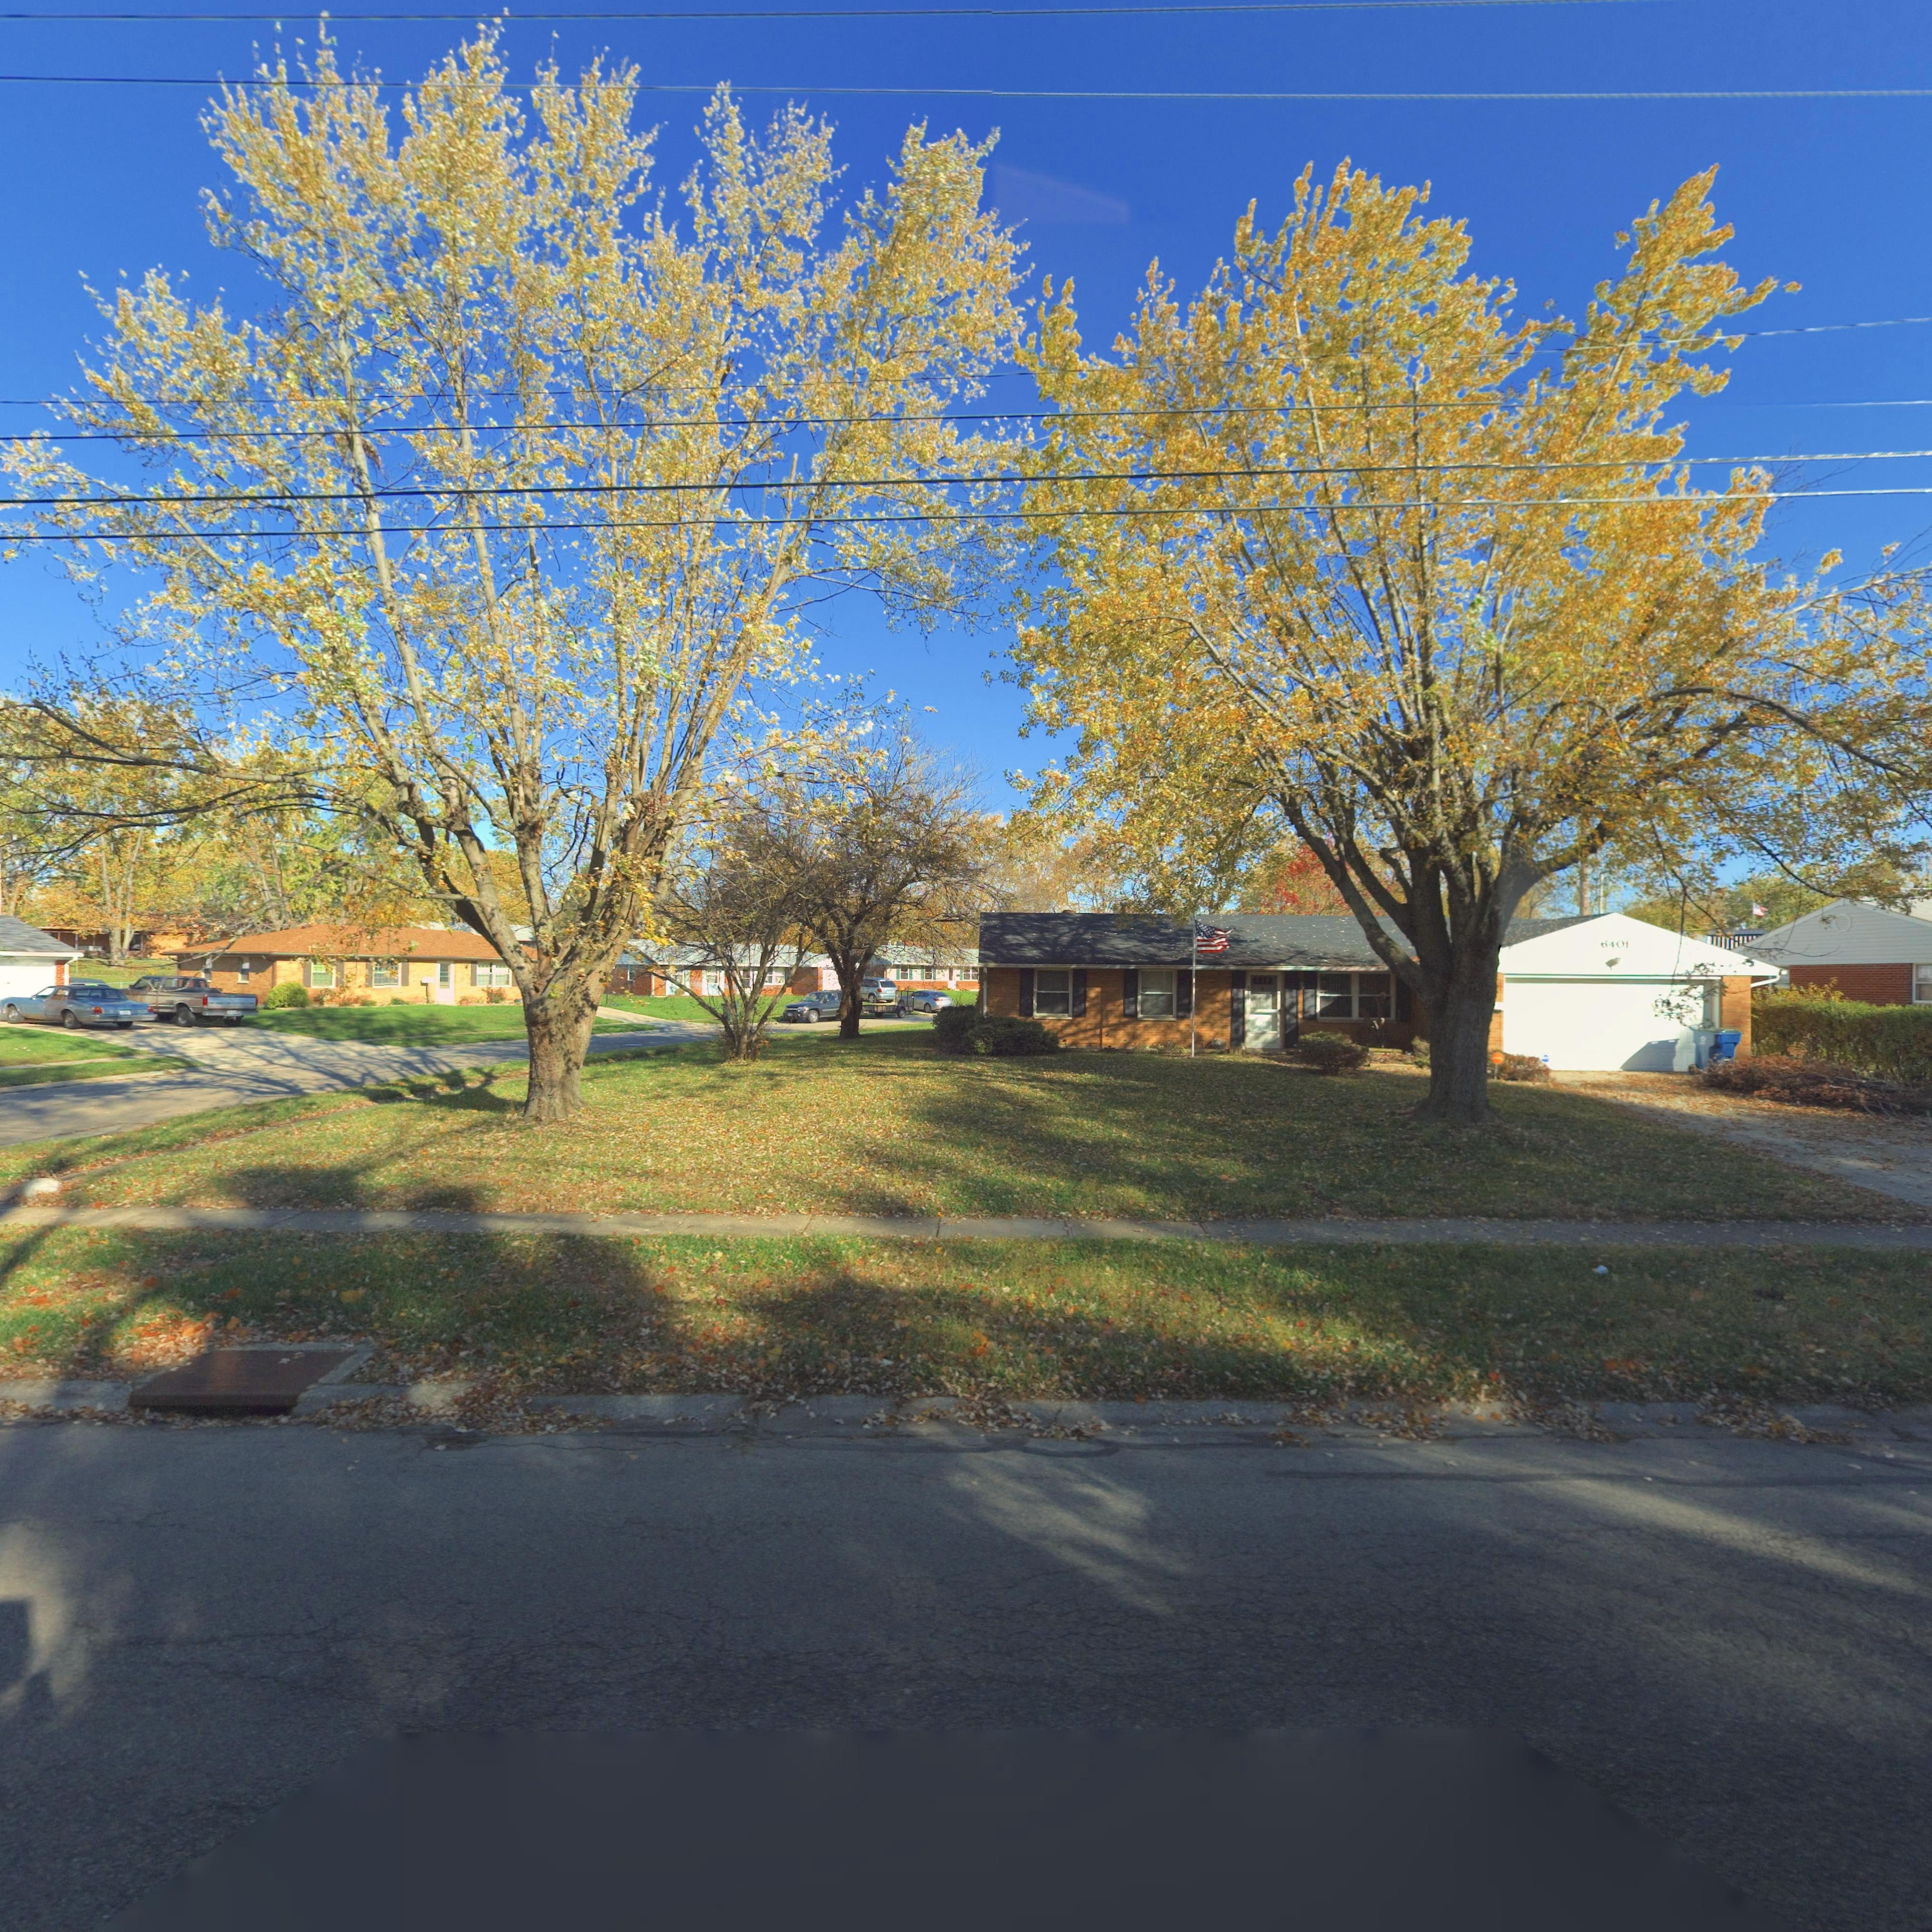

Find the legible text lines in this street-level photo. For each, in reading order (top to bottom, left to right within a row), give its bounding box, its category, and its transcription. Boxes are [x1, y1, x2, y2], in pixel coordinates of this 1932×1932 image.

[1599, 939, 1630, 950] StreetNumber: 6401